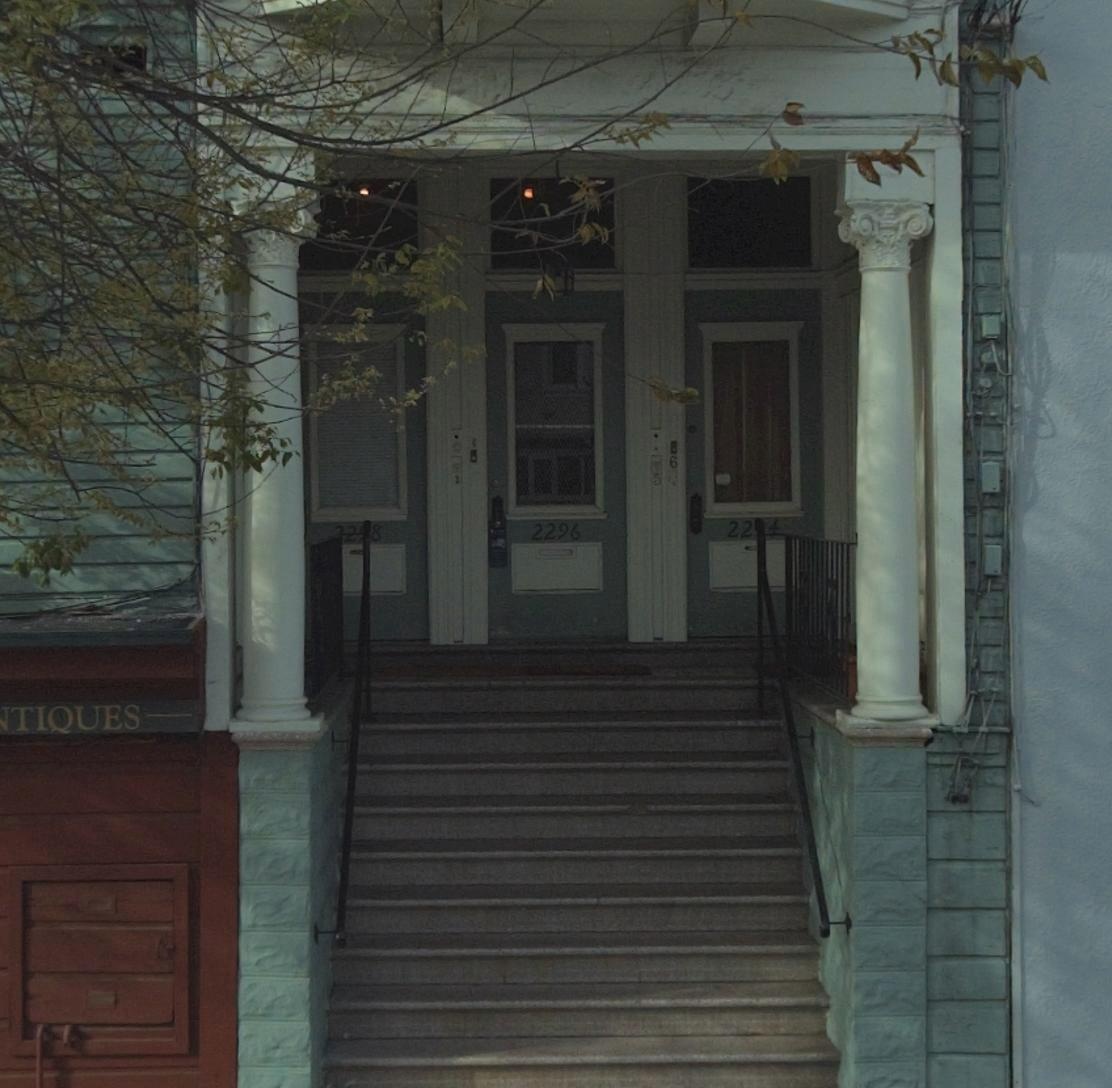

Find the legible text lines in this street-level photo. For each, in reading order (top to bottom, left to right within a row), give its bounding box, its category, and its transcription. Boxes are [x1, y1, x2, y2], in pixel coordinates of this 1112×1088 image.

[667, 454, 679, 469] None: 6
[368, 521, 385, 543] StreetNumber: 8
[529, 519, 582, 543] StreetNumber: 2296
[725, 516, 782, 540] StreetNumber: 22*4
[7, 701, 144, 738] BusinessName: TIQUES